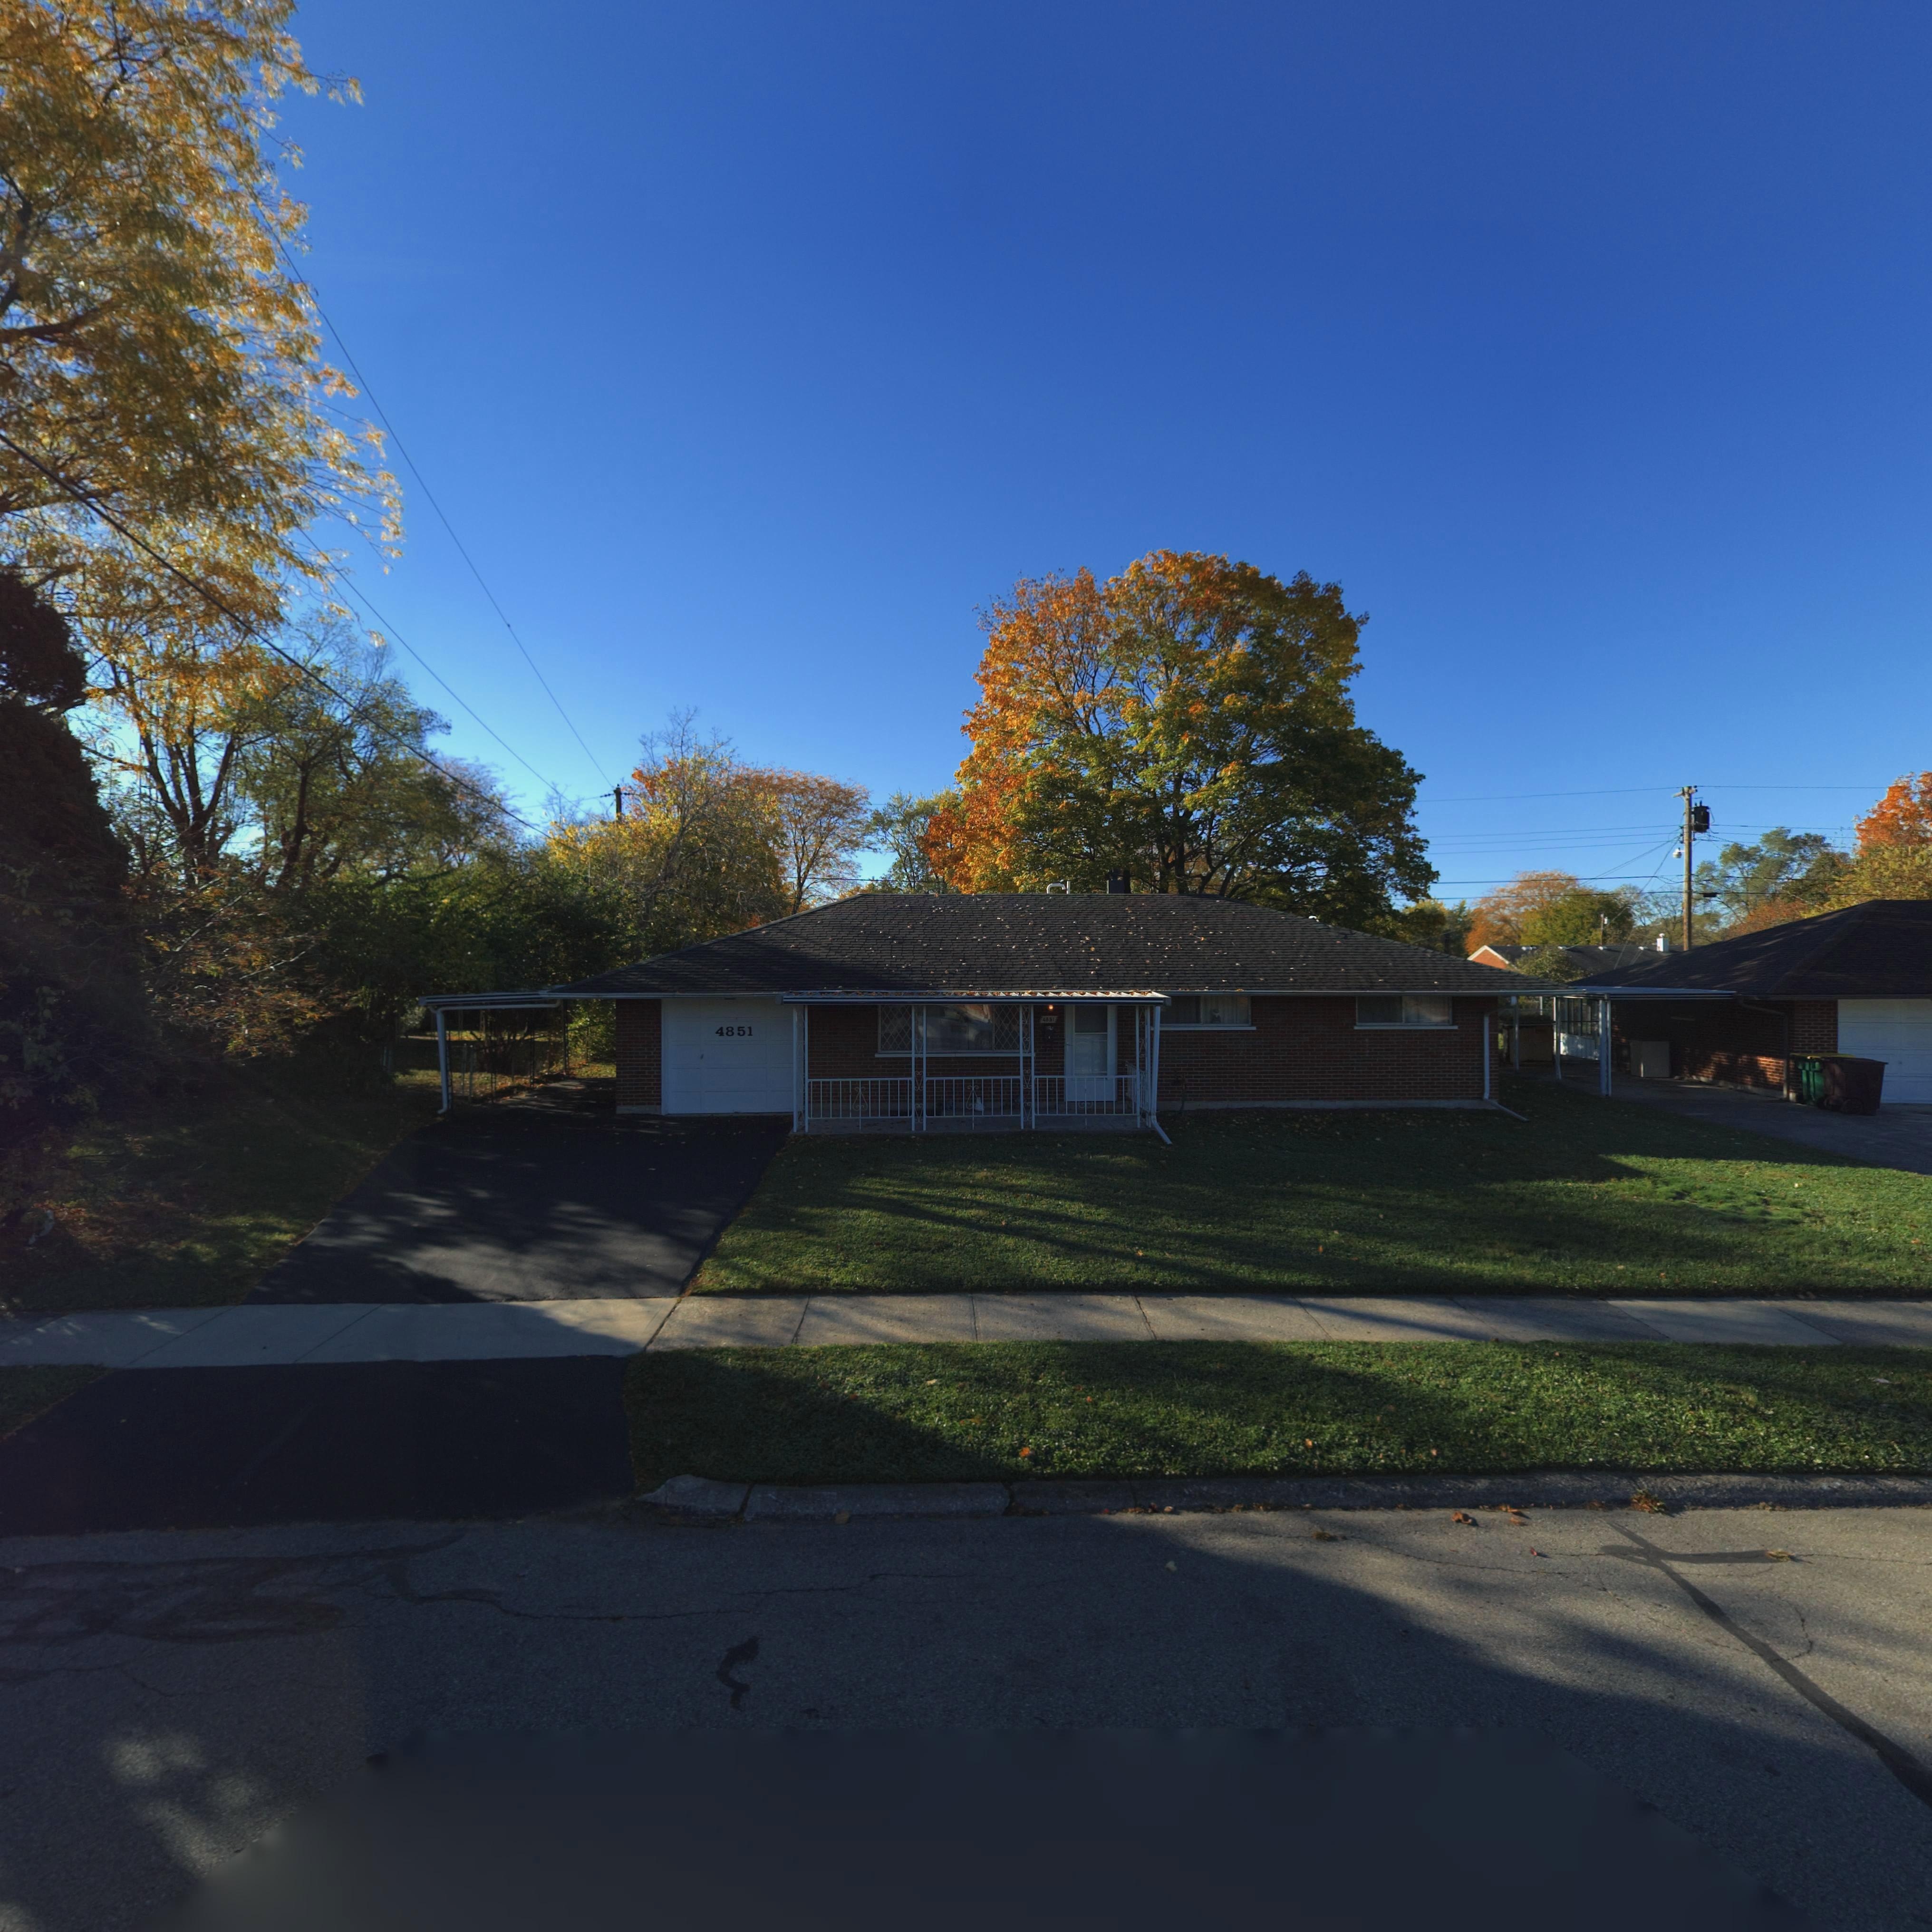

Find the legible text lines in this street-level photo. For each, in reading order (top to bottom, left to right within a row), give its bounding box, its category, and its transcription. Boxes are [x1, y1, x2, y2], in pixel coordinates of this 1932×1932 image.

[1042, 1016, 1055, 1022] StreetNumber: 4851
[715, 1026, 753, 1036] StreetNumber: 4851